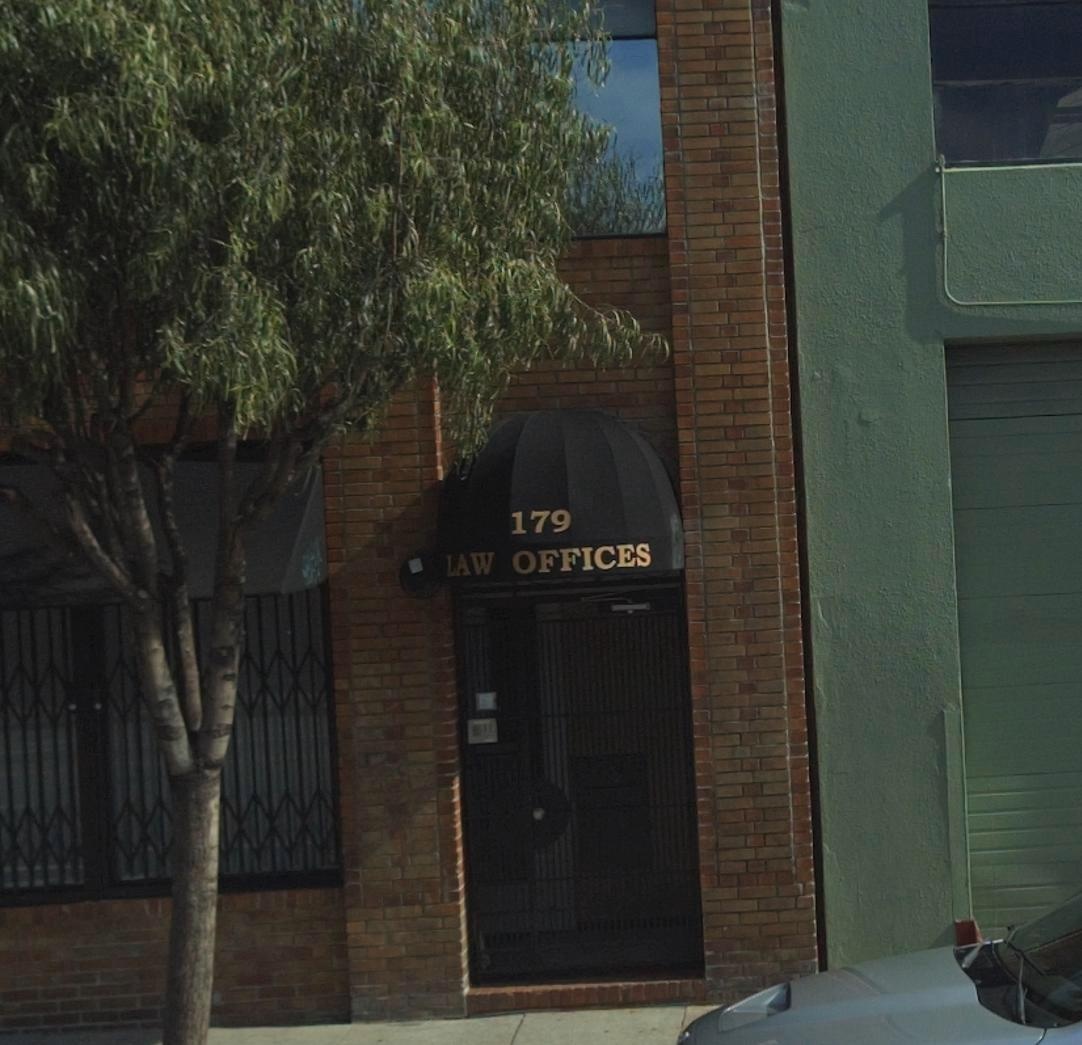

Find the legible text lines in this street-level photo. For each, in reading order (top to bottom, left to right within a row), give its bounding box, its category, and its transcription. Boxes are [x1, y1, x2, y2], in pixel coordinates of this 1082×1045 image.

[506, 505, 575, 539] StreetNumber: 179
[439, 538, 653, 581] None: LAW OFFICES